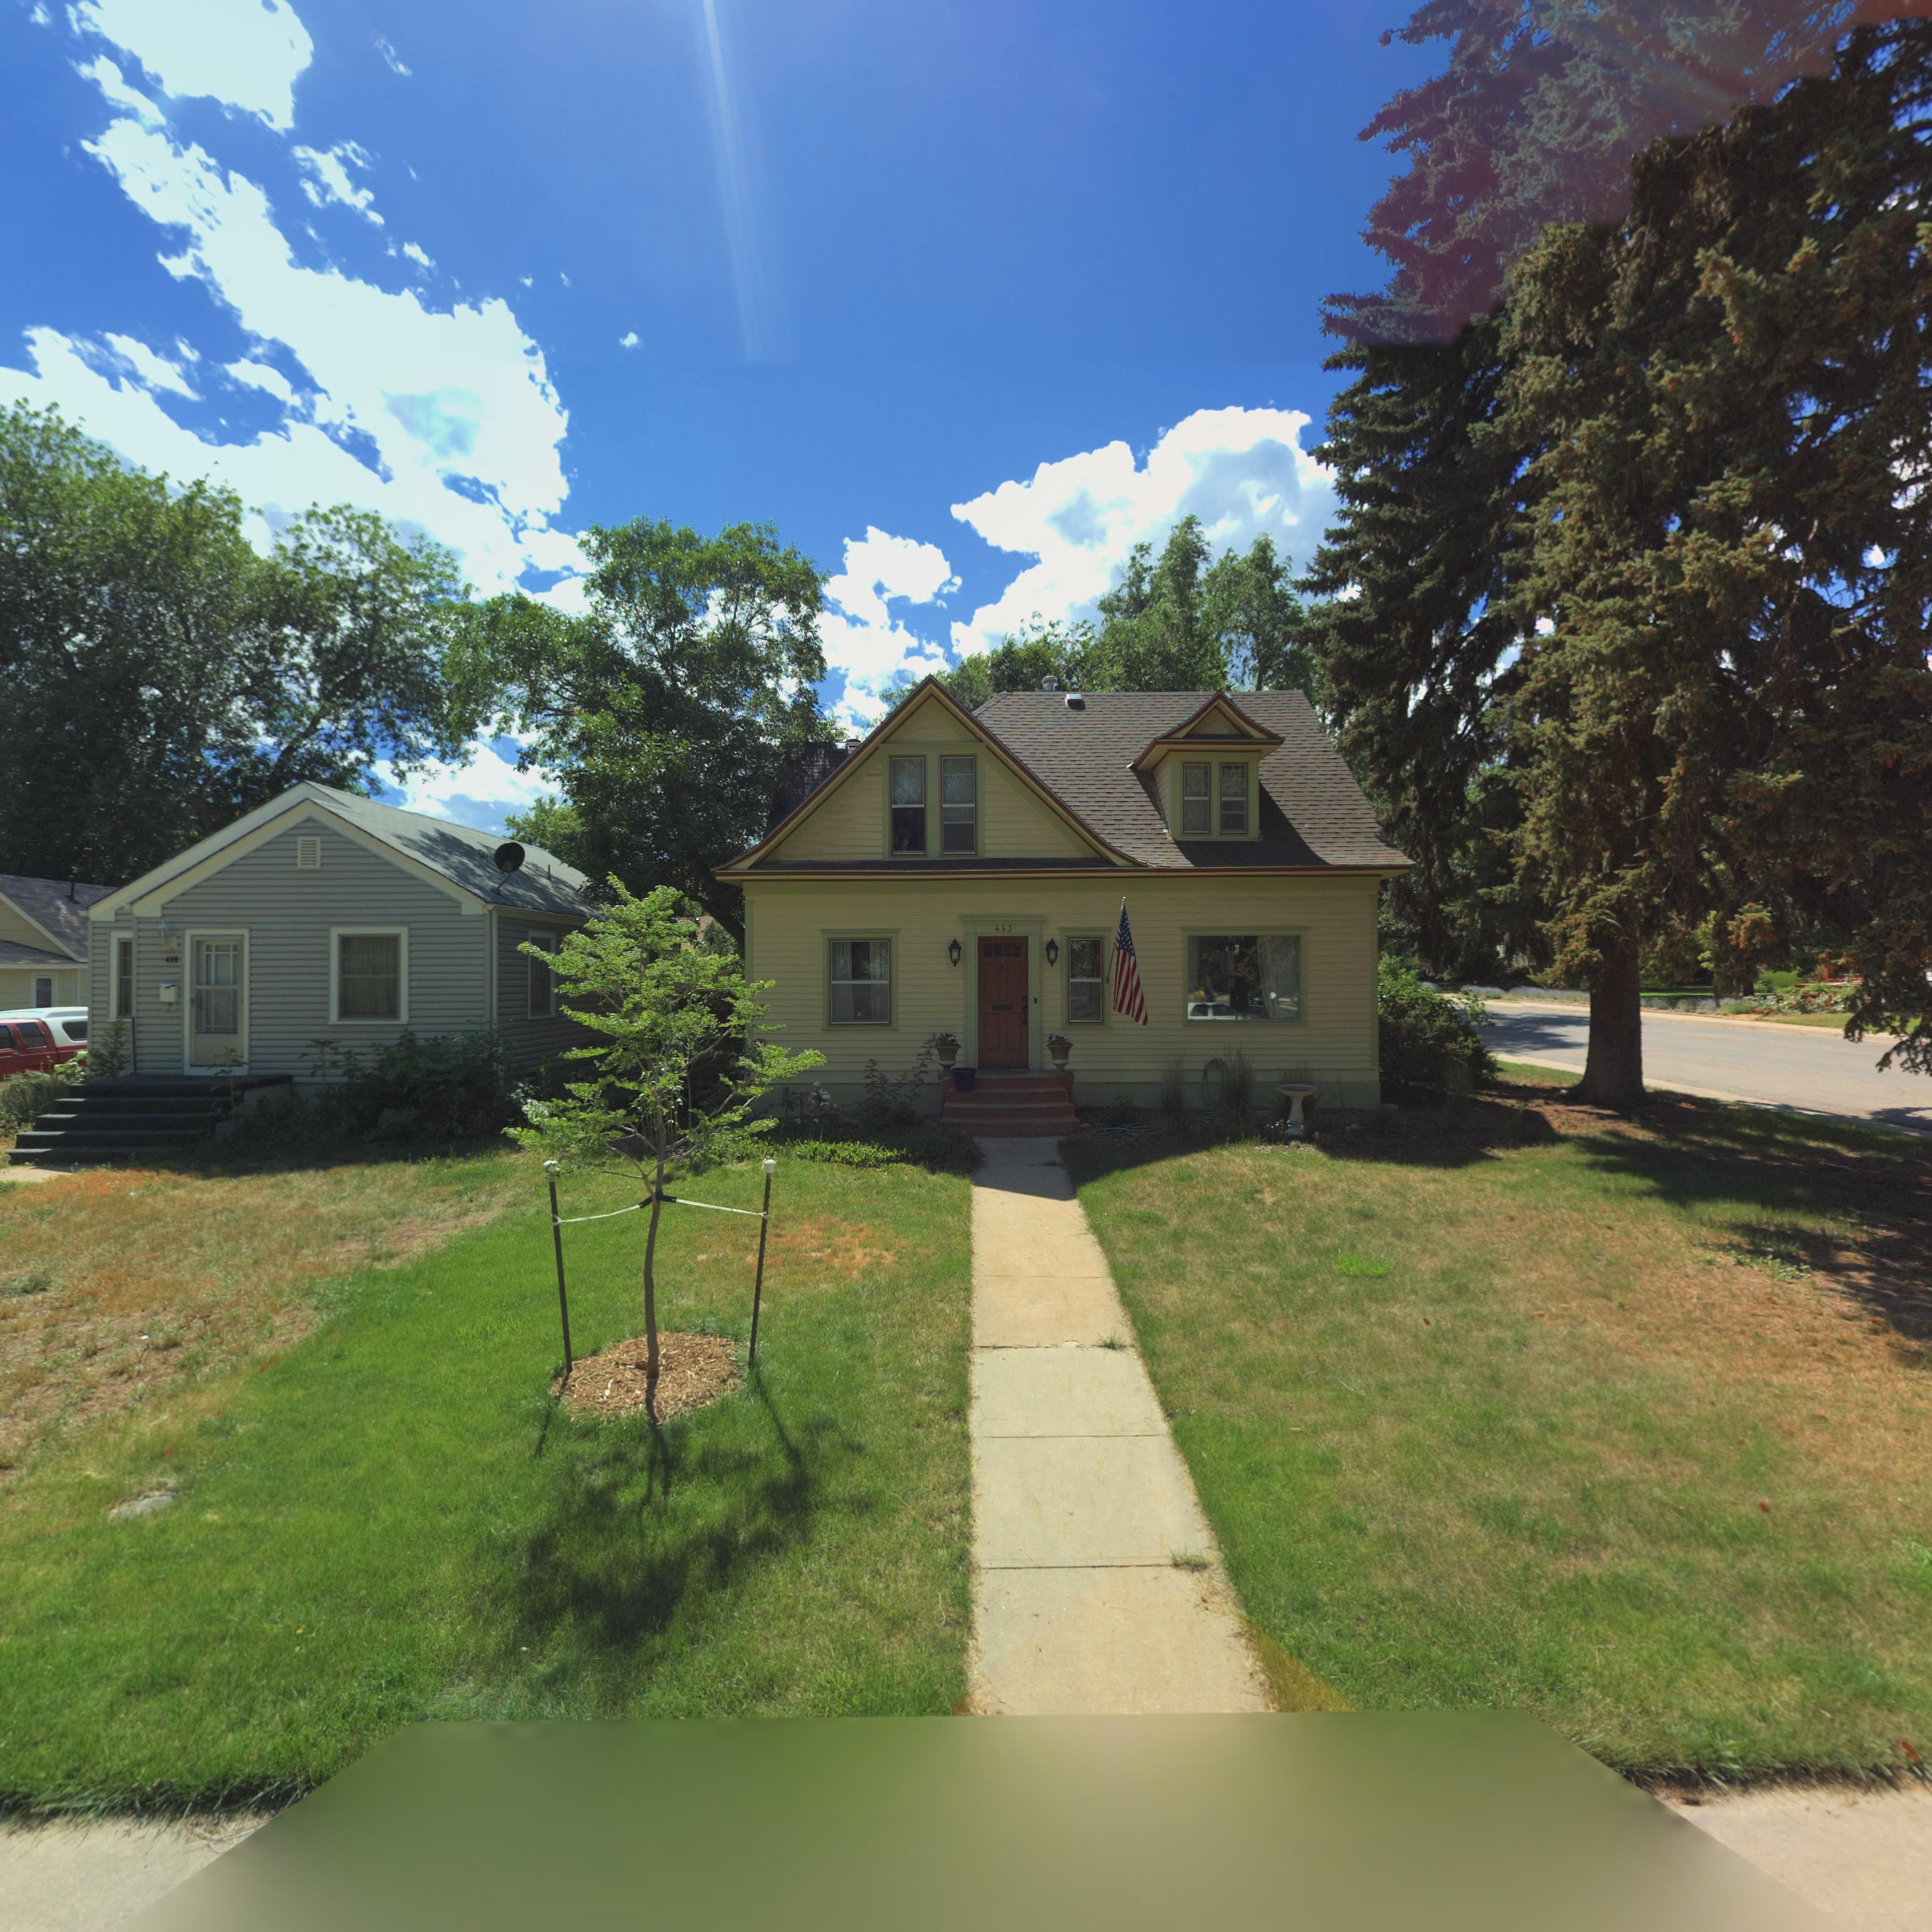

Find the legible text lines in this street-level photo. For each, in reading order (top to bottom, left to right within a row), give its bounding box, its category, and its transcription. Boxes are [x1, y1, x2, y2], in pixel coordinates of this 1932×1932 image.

[994, 924, 1013, 932] StreetNumber: 443
[164, 955, 179, 964] StreetNumber: 439